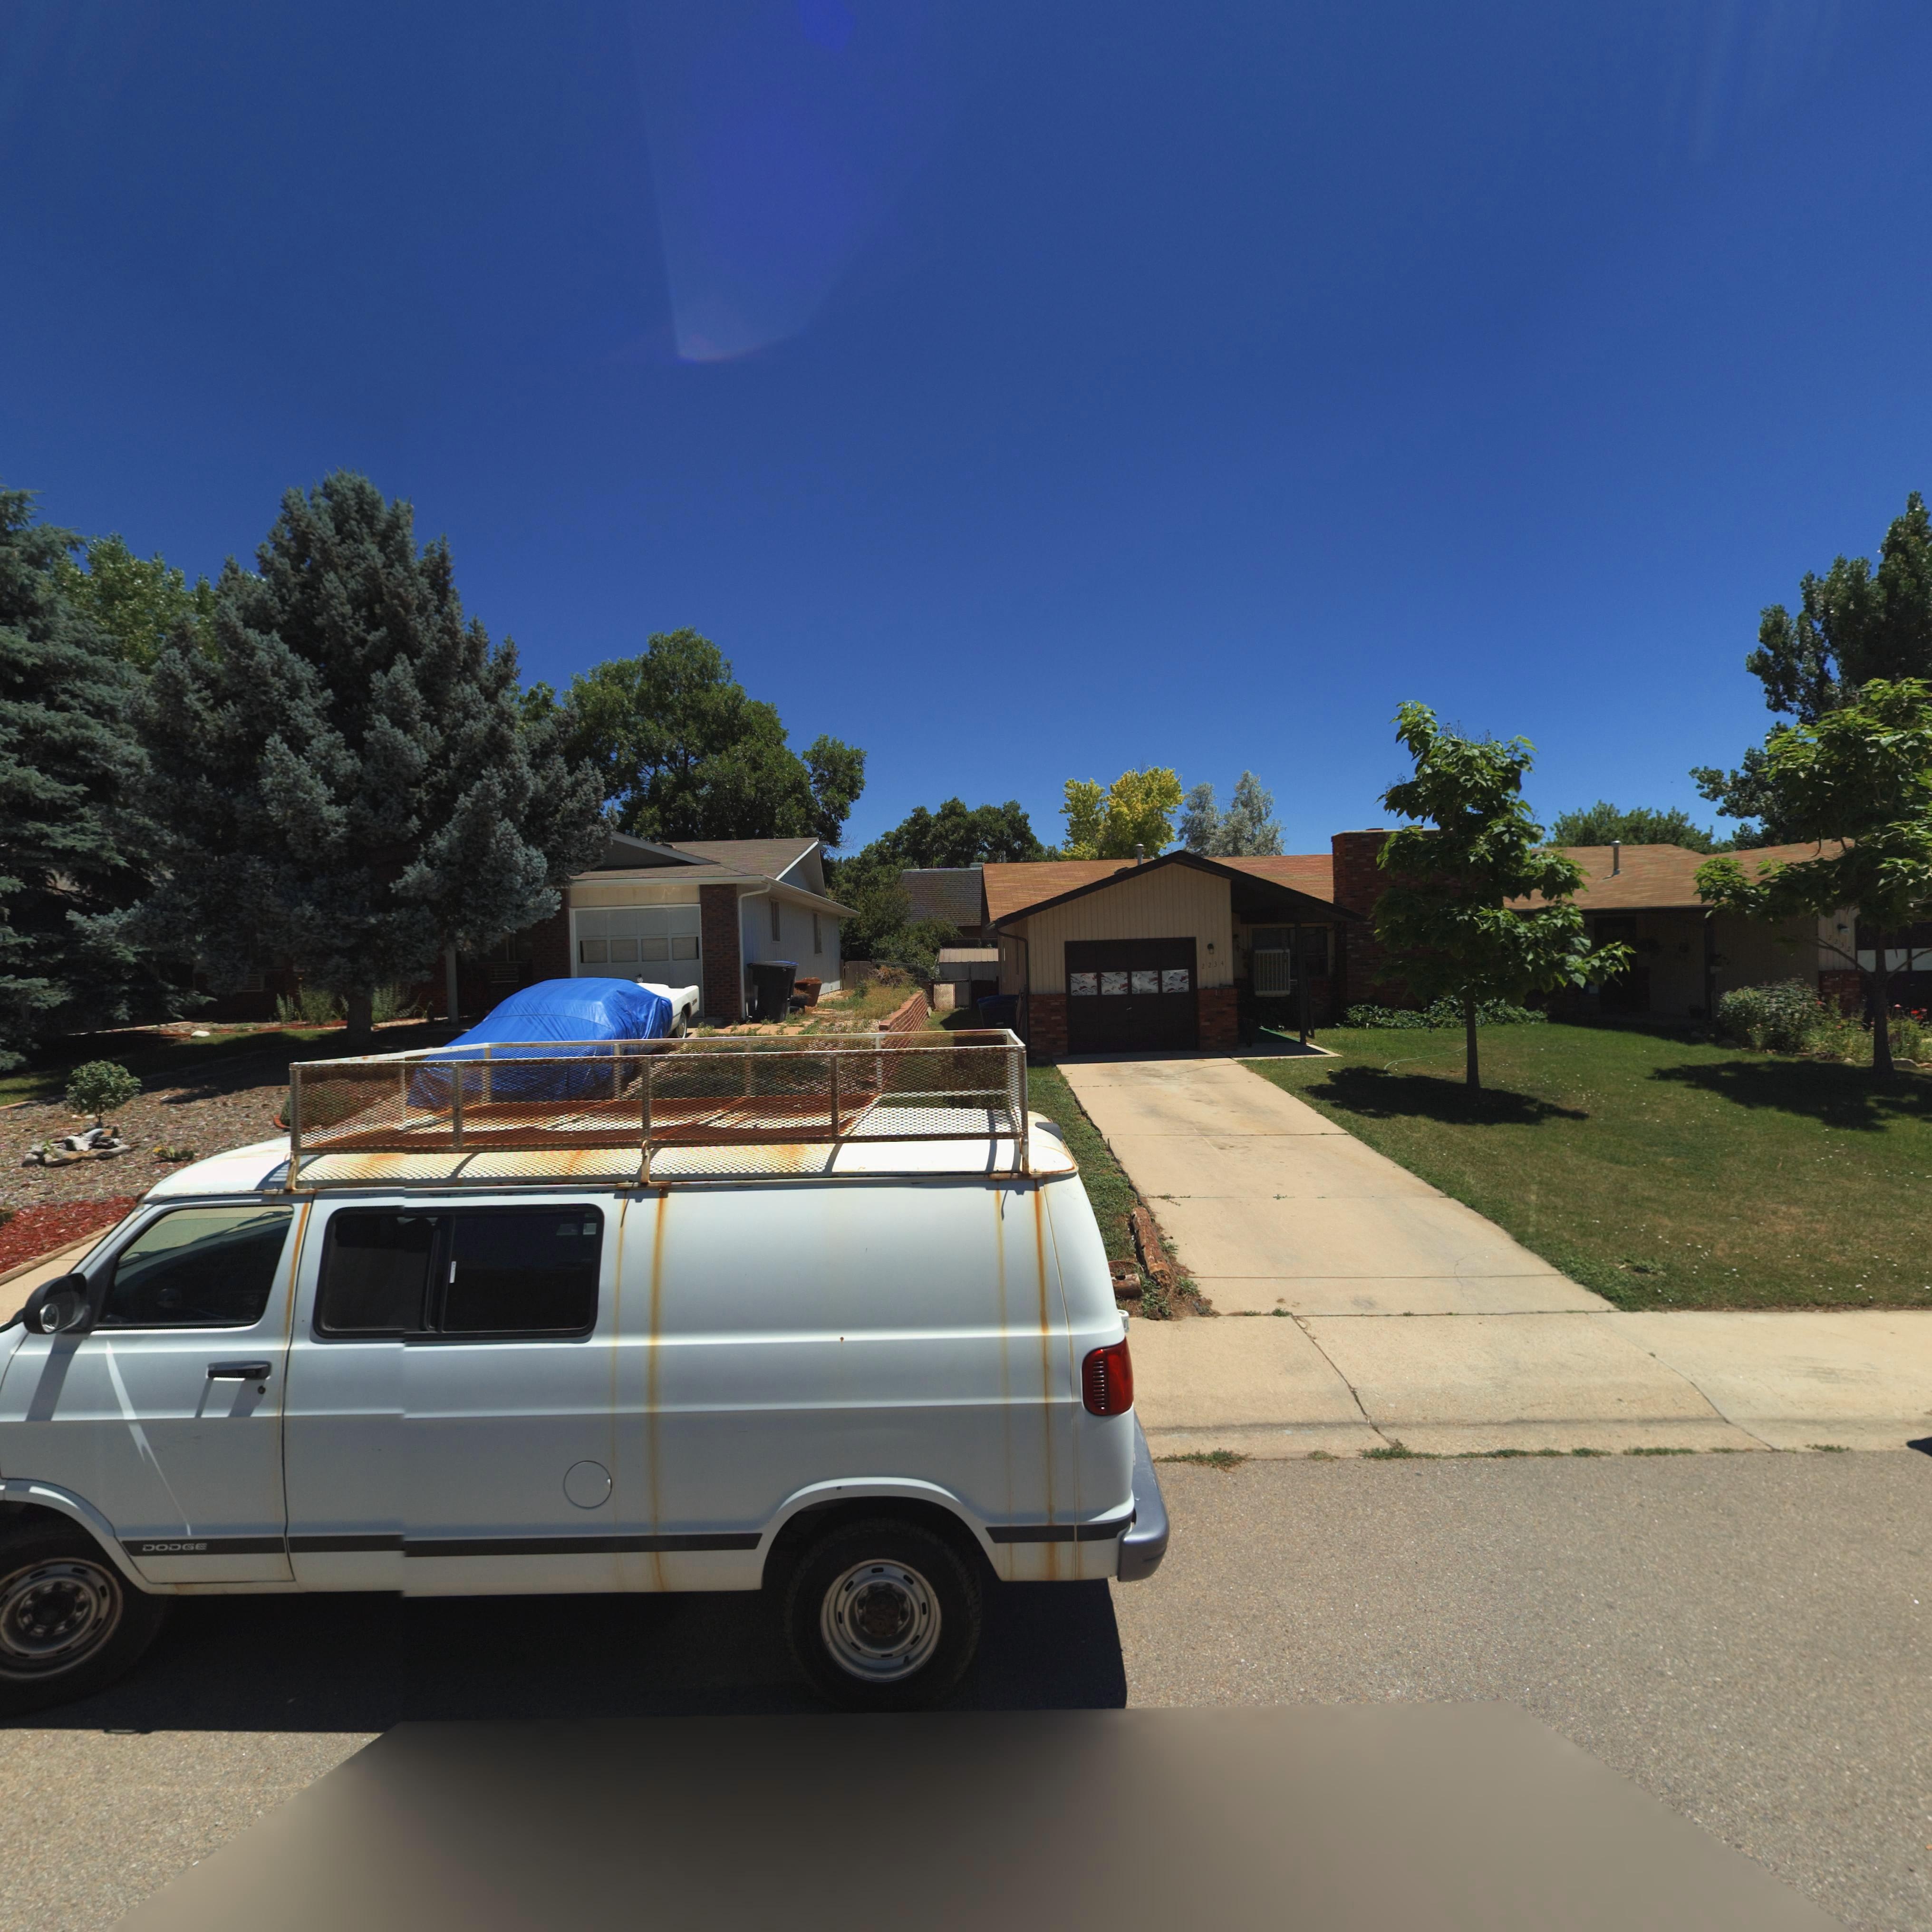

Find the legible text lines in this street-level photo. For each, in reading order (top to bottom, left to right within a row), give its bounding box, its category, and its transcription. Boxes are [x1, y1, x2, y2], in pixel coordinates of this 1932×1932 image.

[1826, 934, 1852, 953] StreetNumber: 2232
[1201, 959, 1224, 970] StreetNumber: 2234